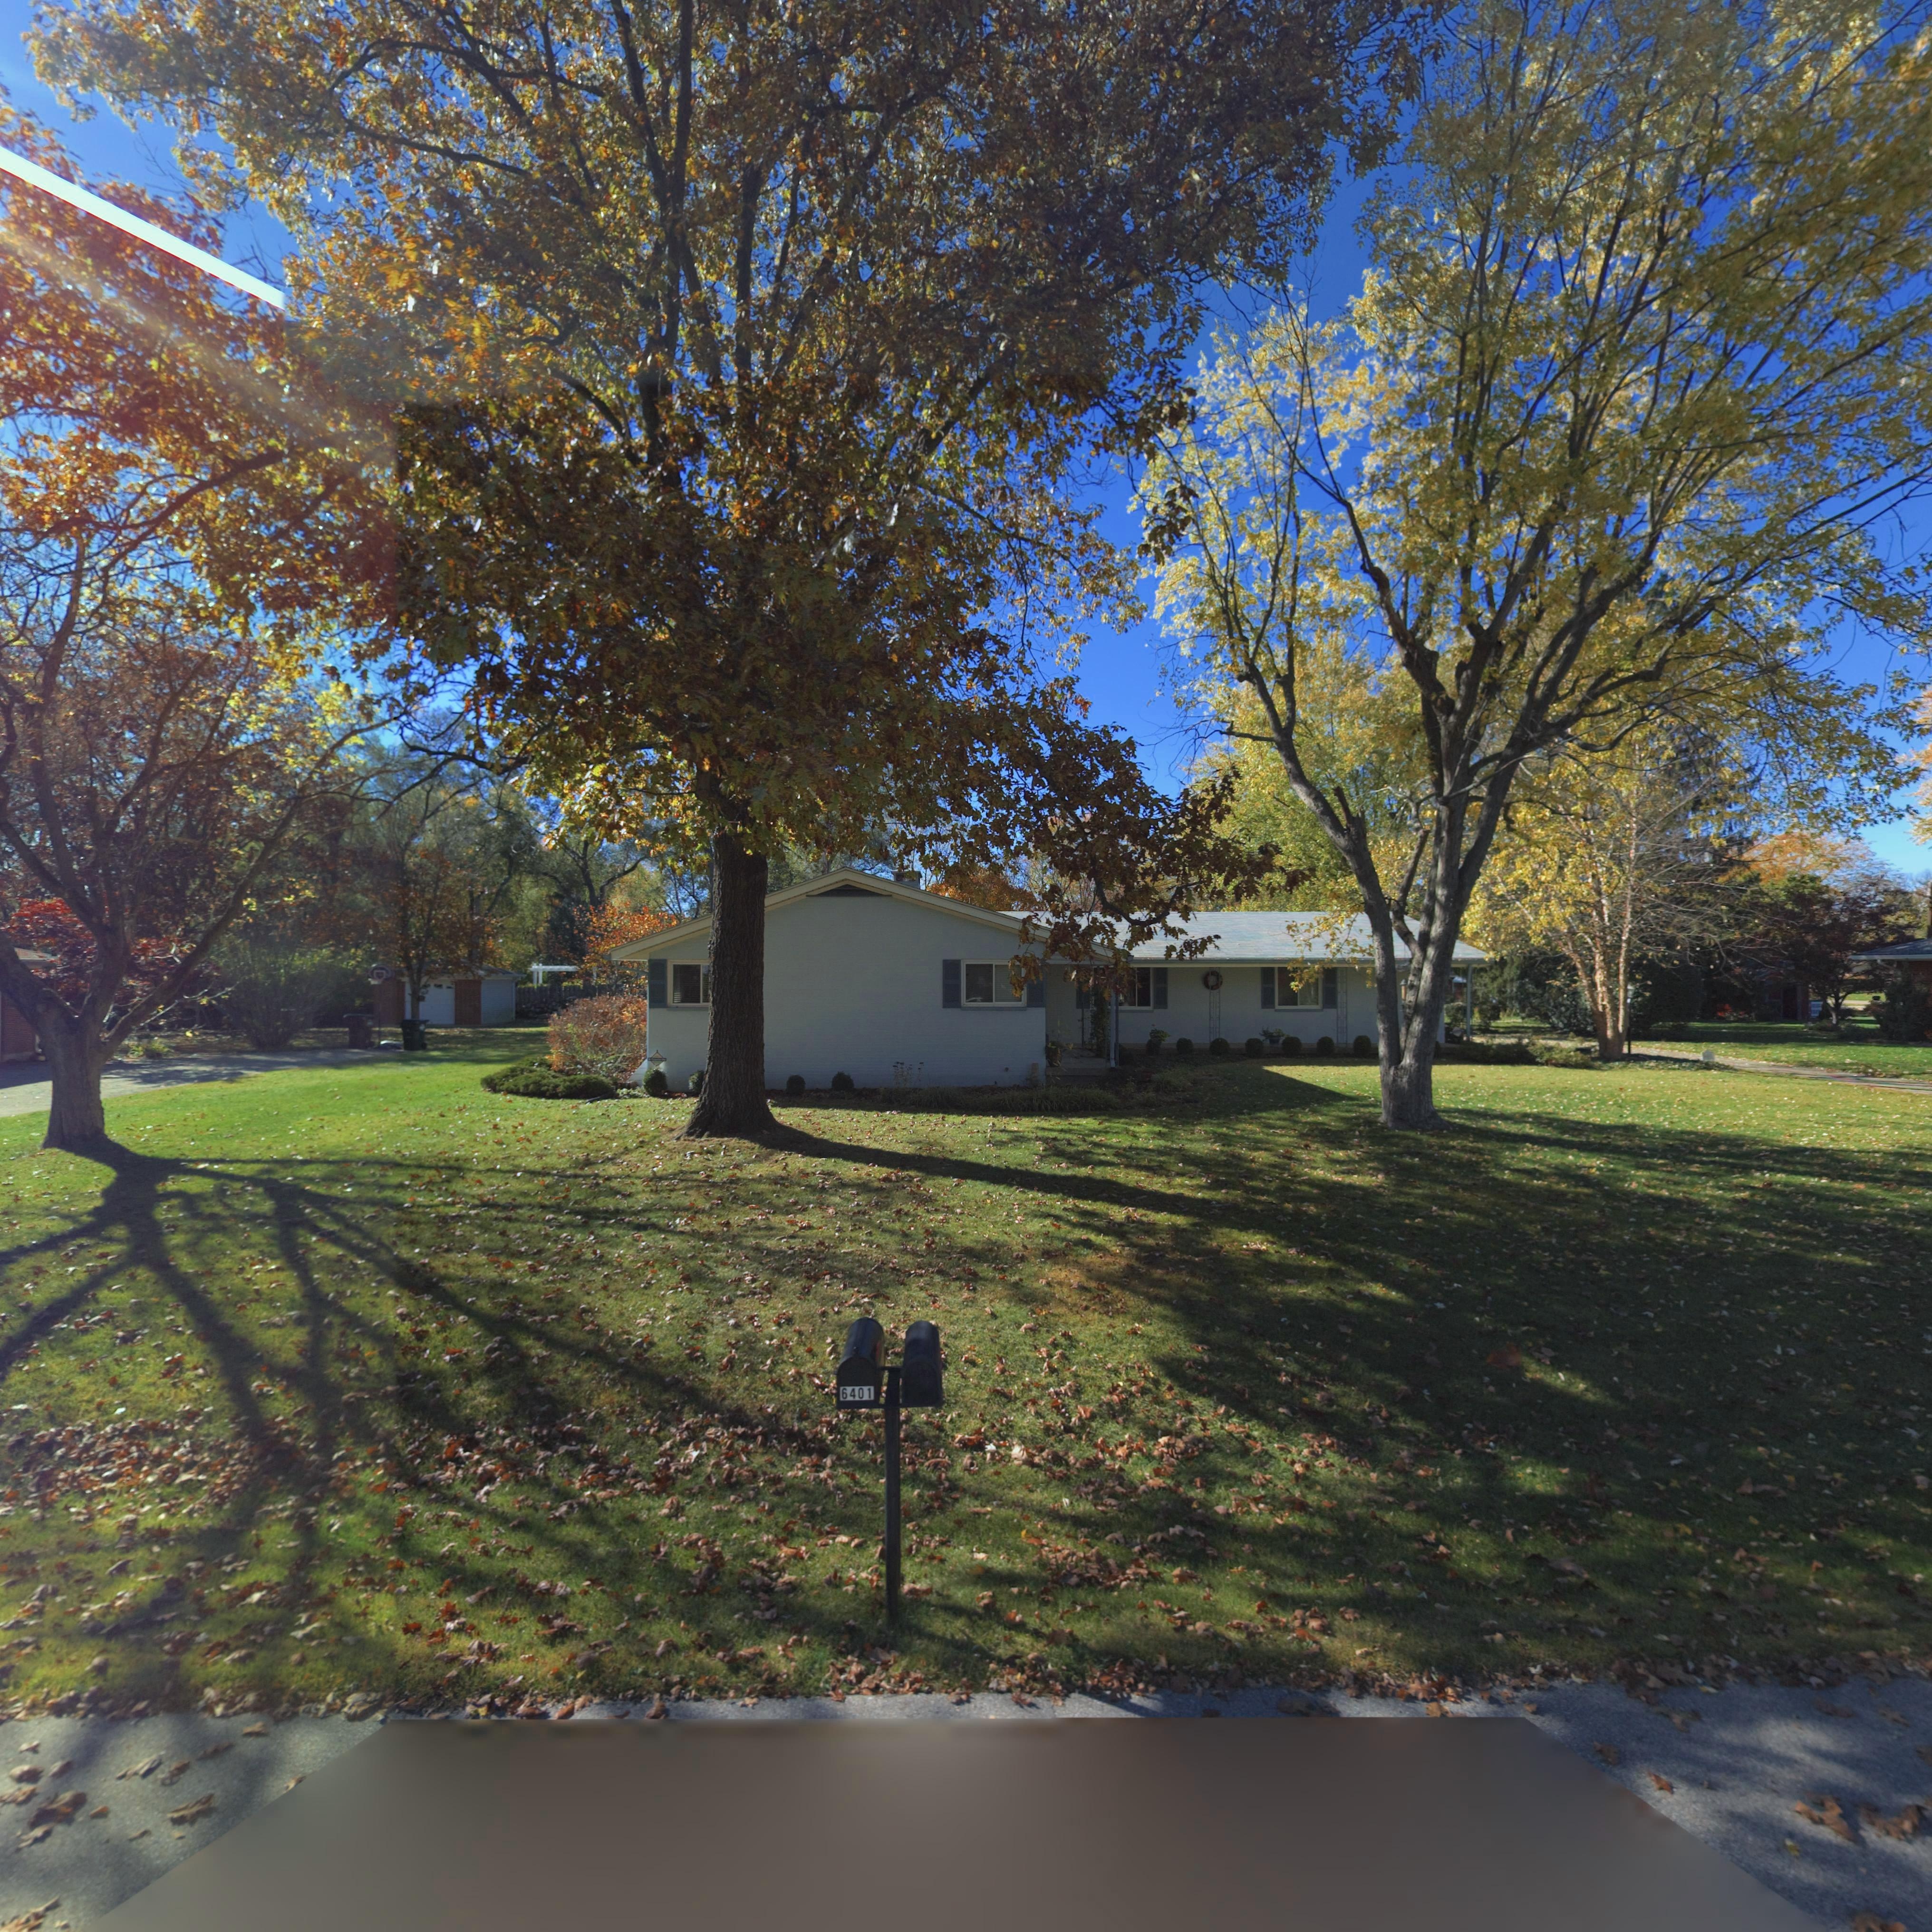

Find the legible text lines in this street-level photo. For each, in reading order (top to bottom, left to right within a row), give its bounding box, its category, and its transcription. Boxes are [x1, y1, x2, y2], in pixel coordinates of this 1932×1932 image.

[841, 1387, 871, 1400] StreetNumber: 6401